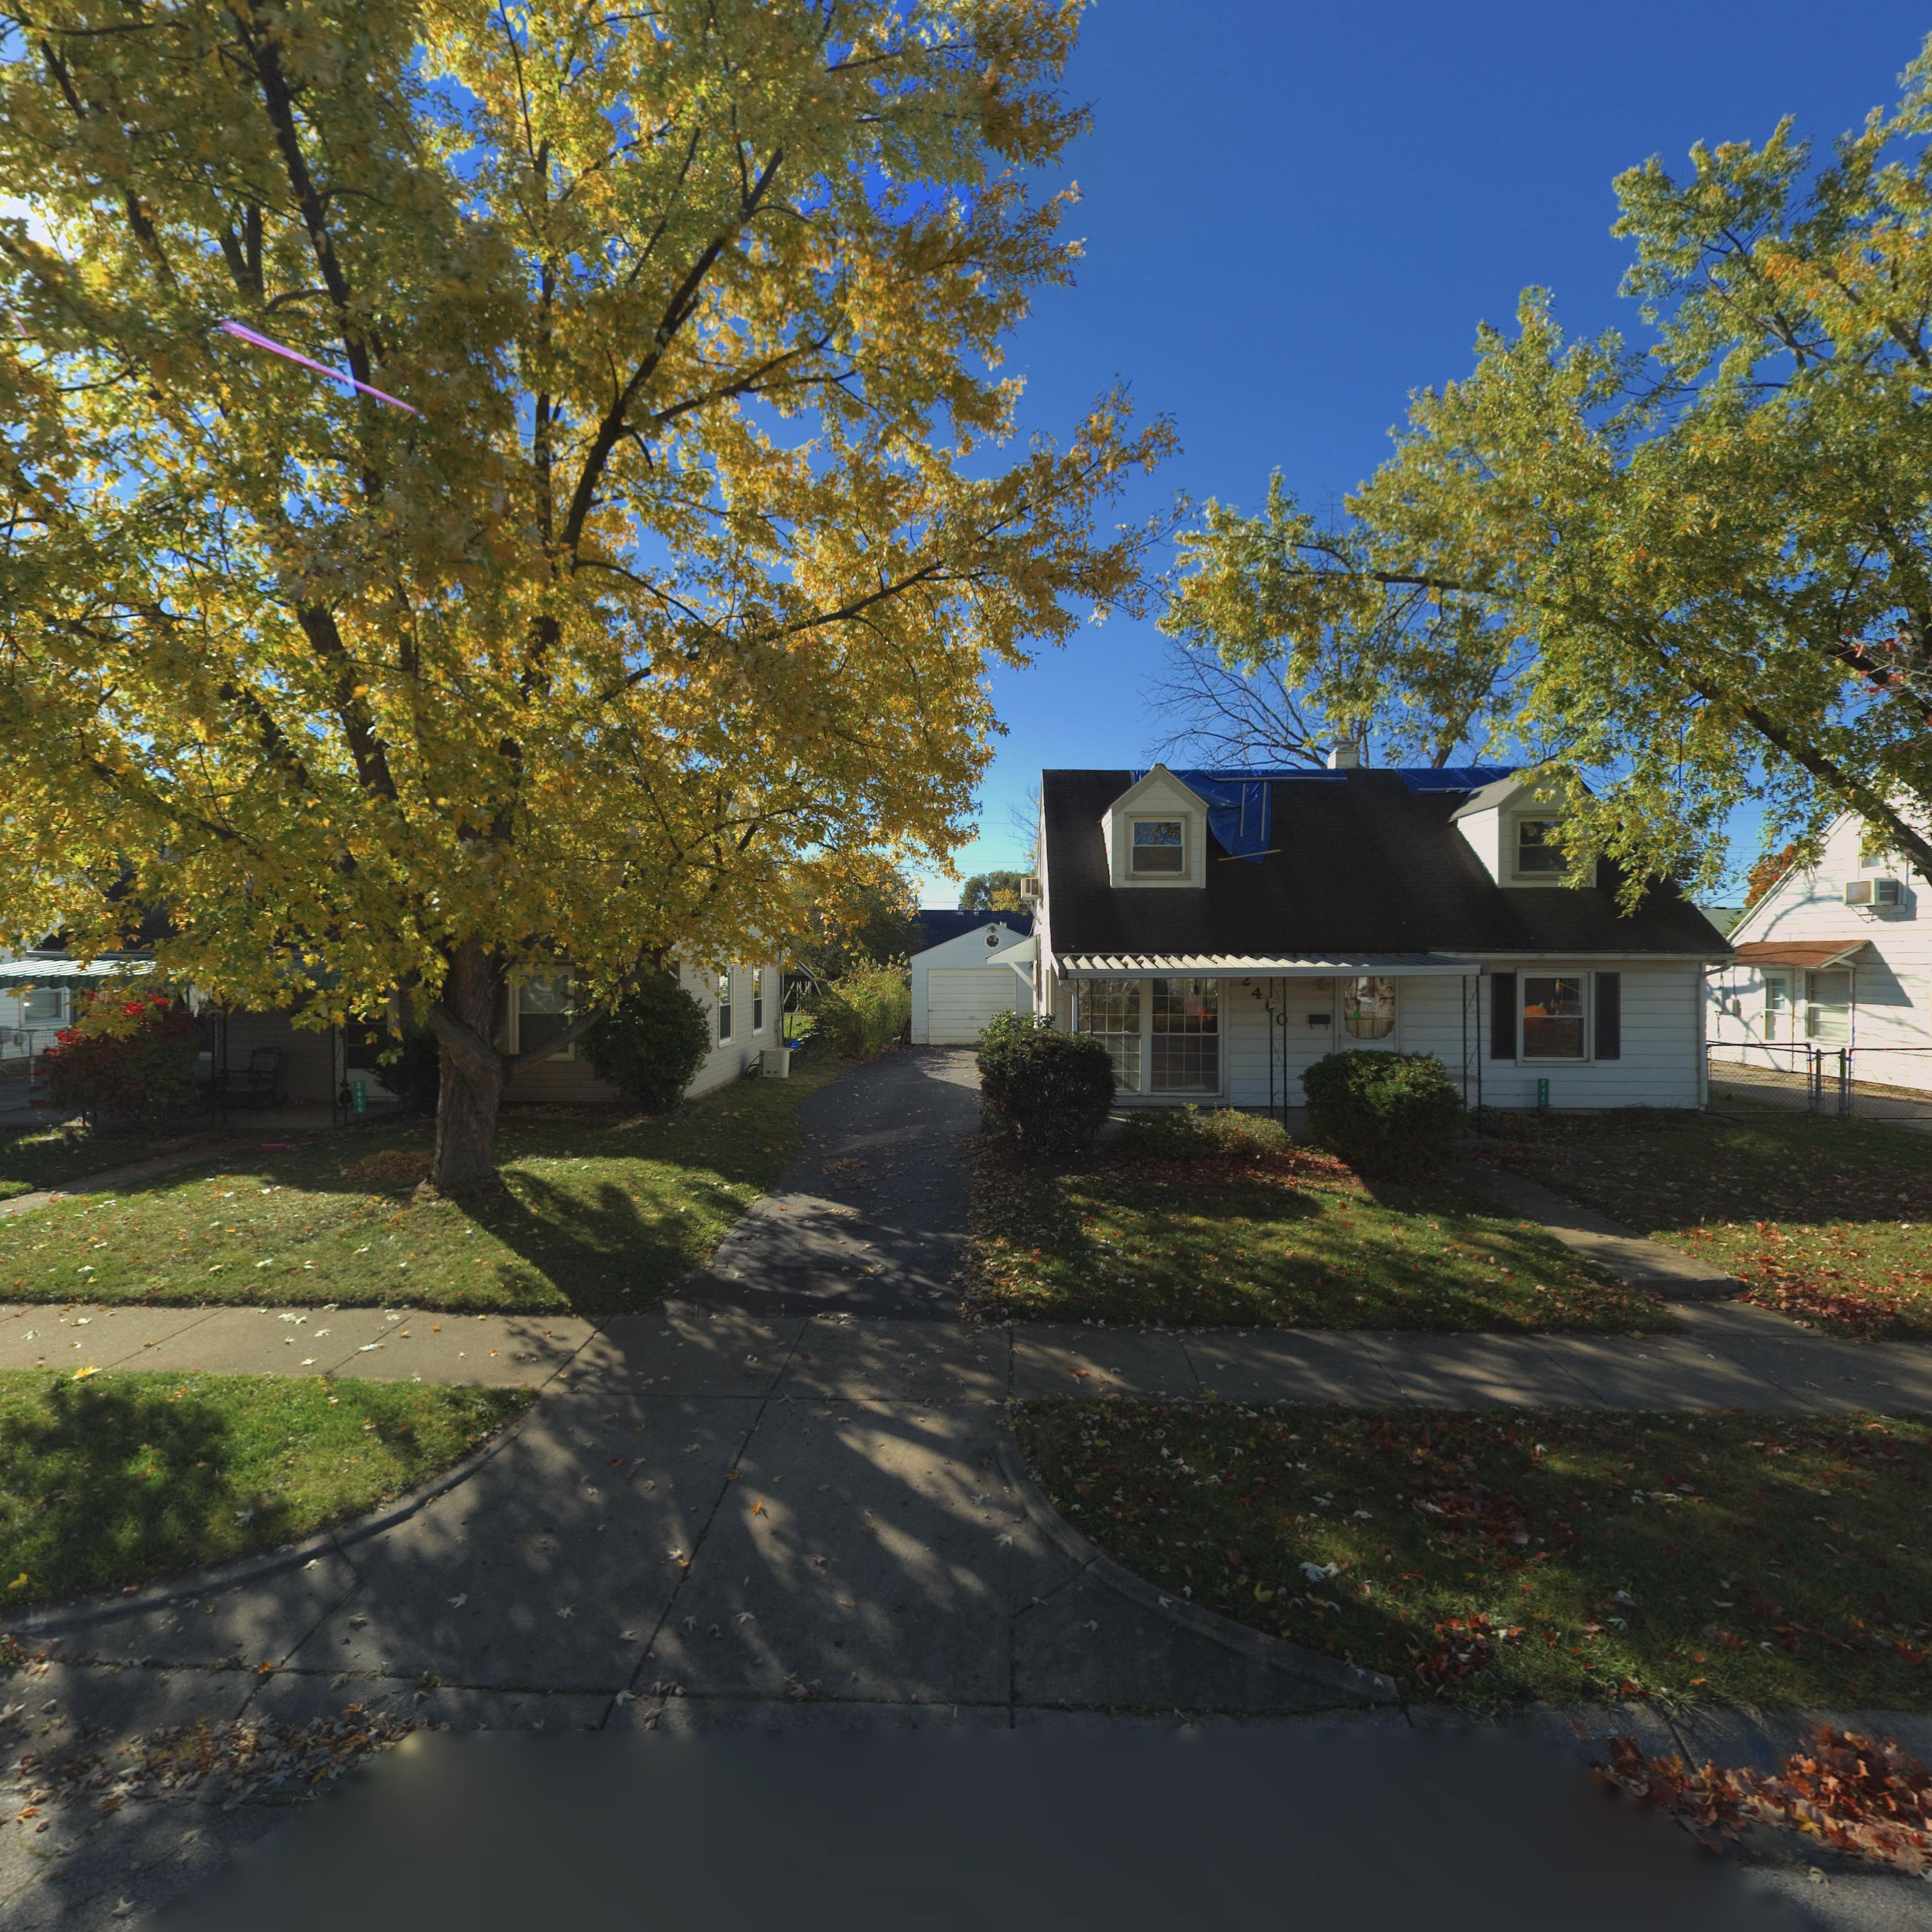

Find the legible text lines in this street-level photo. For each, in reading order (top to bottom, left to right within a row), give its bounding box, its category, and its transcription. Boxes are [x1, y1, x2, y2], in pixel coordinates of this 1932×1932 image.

[1250, 985, 1289, 1027] StreetNumber: 4**
[355, 1081, 364, 1113] StreetNumber: 2456
[1540, 1078, 1547, 1102] StreetNumber: 246